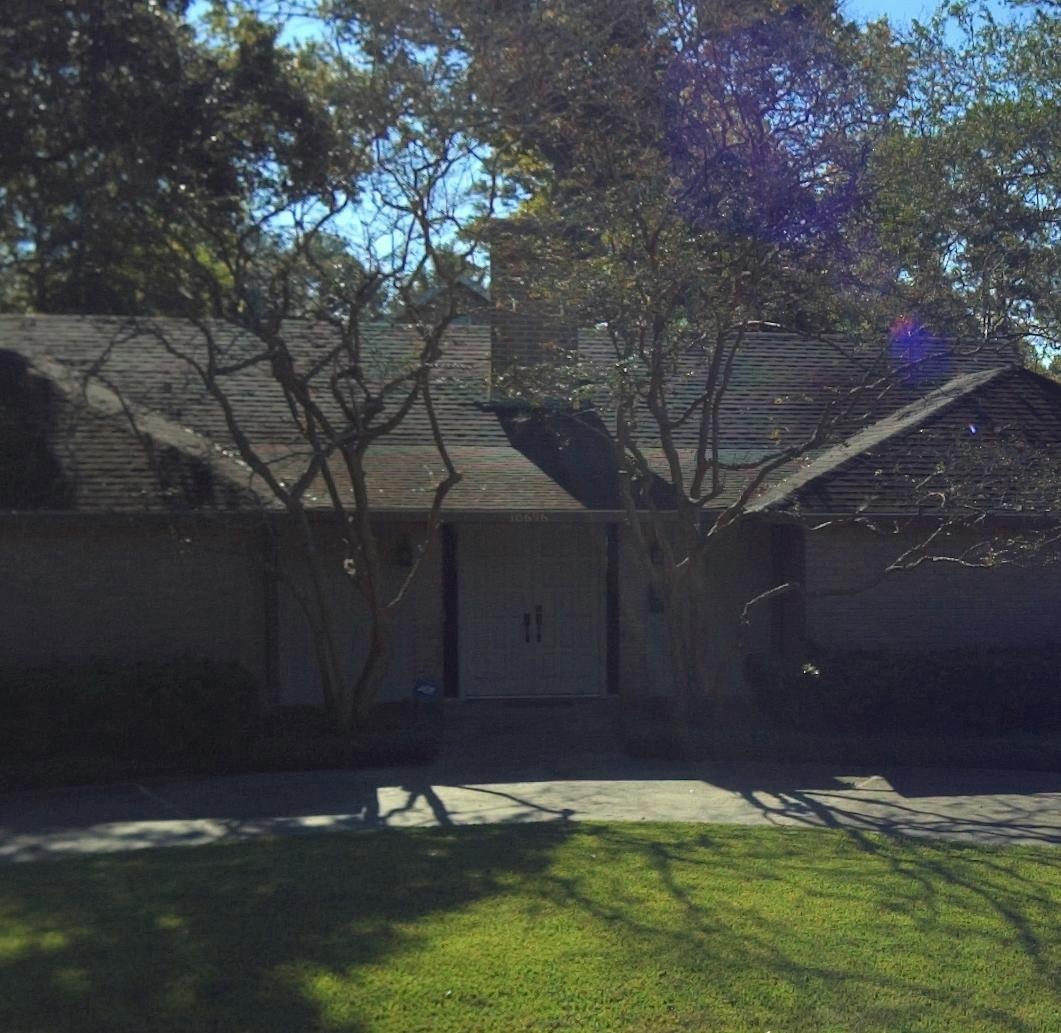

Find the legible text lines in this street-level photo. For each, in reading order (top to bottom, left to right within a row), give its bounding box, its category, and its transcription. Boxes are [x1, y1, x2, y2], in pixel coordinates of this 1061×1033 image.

[509, 510, 551, 524] StreetNumber: 10696